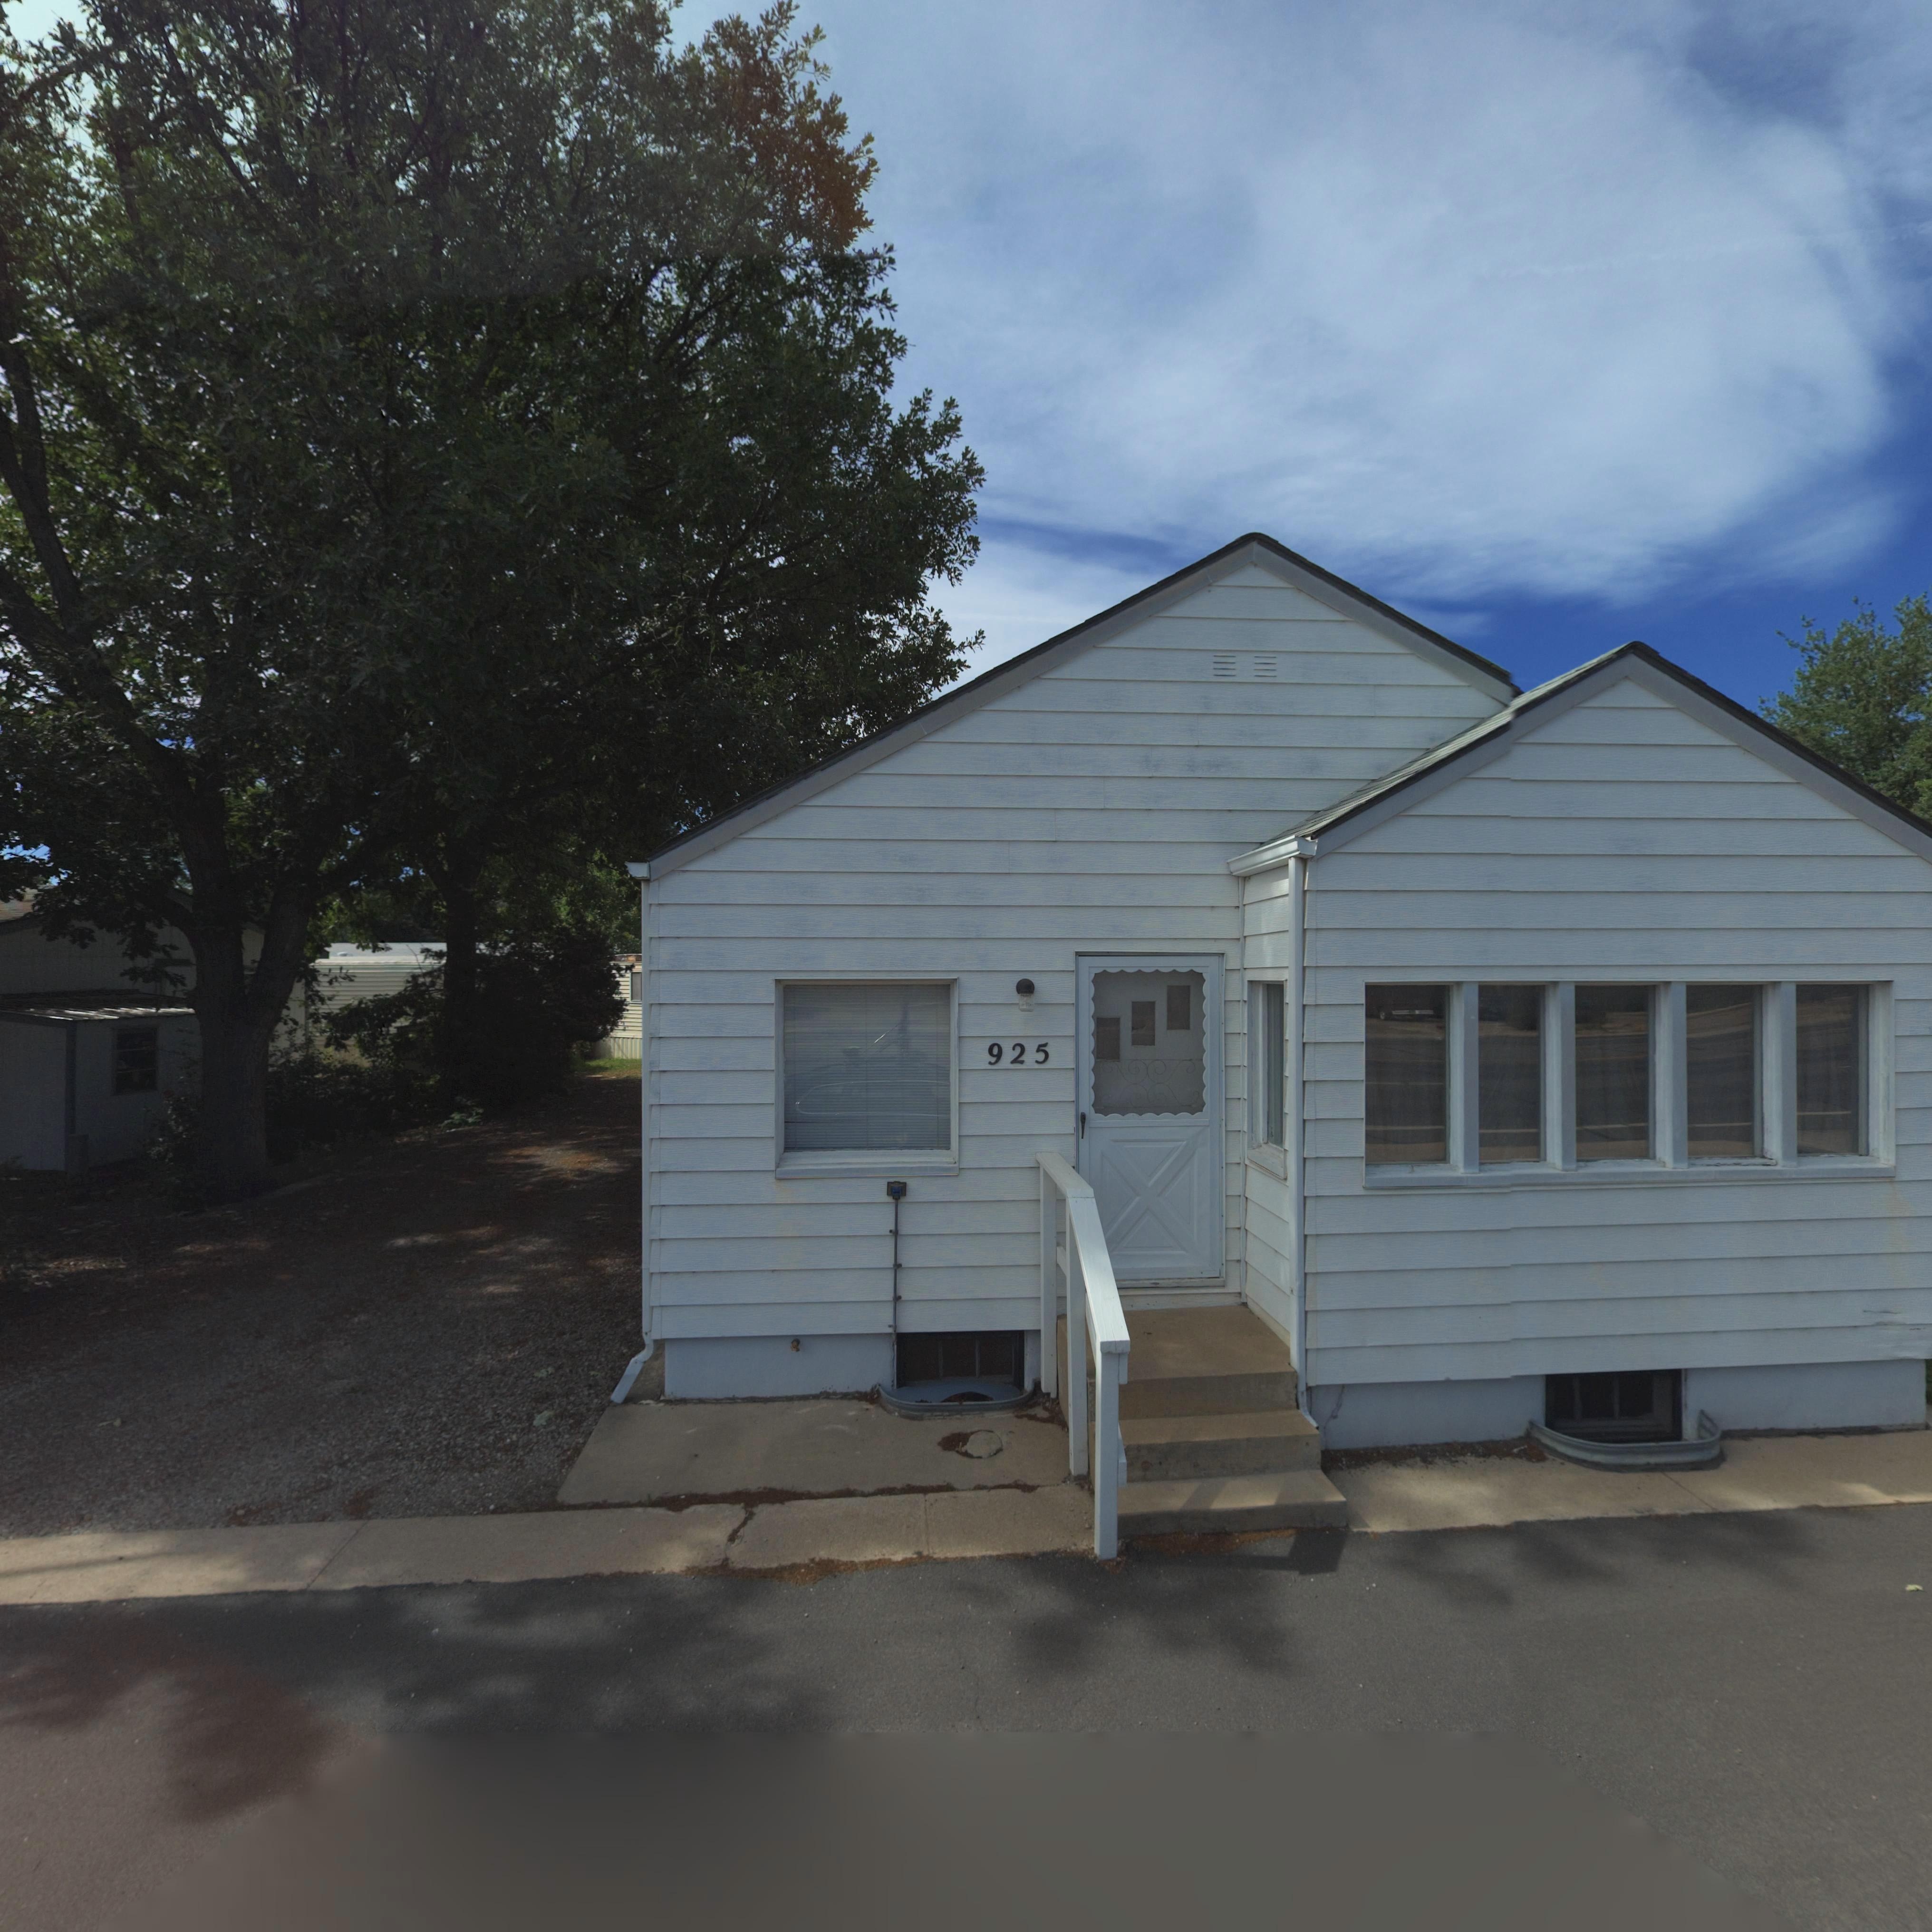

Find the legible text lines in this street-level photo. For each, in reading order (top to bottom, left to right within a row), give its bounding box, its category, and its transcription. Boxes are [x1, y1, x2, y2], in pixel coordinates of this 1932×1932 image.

[988, 1042, 1049, 1066] StreetNumber: 925